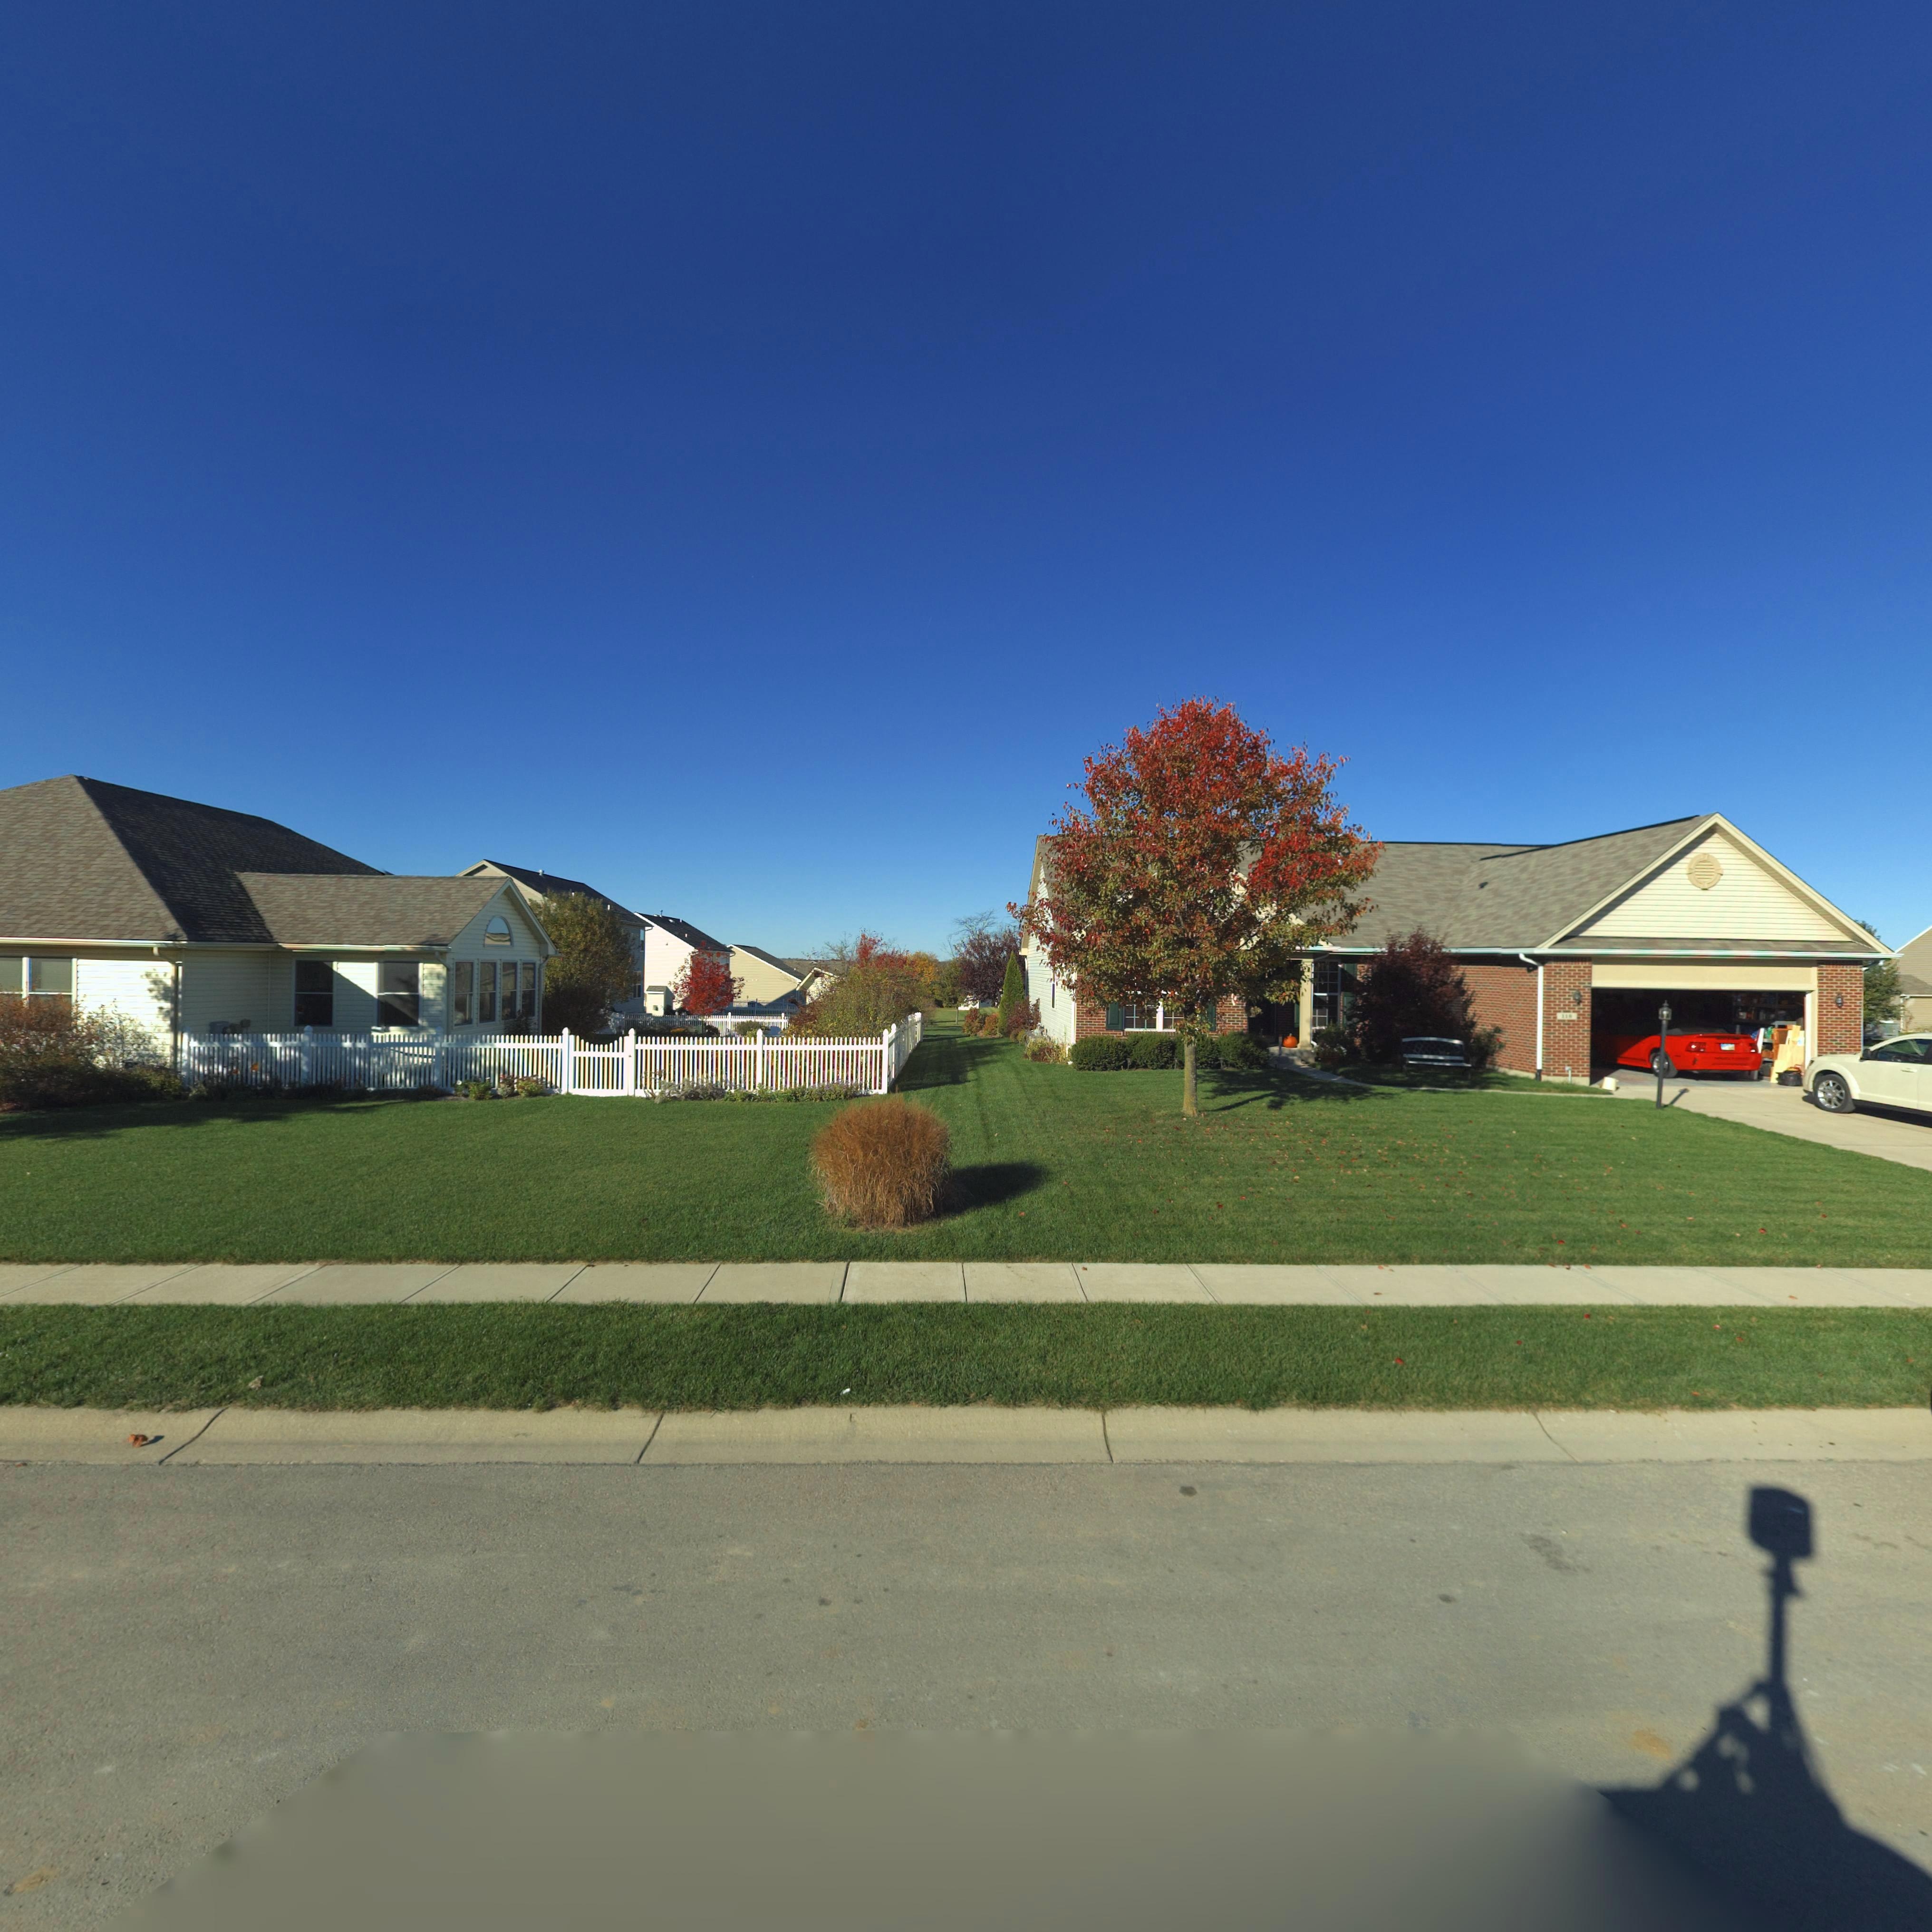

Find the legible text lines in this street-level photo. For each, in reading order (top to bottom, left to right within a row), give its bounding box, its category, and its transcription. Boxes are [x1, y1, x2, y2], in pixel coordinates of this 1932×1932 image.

[1561, 1013, 1573, 1019] StreetNumber: 118